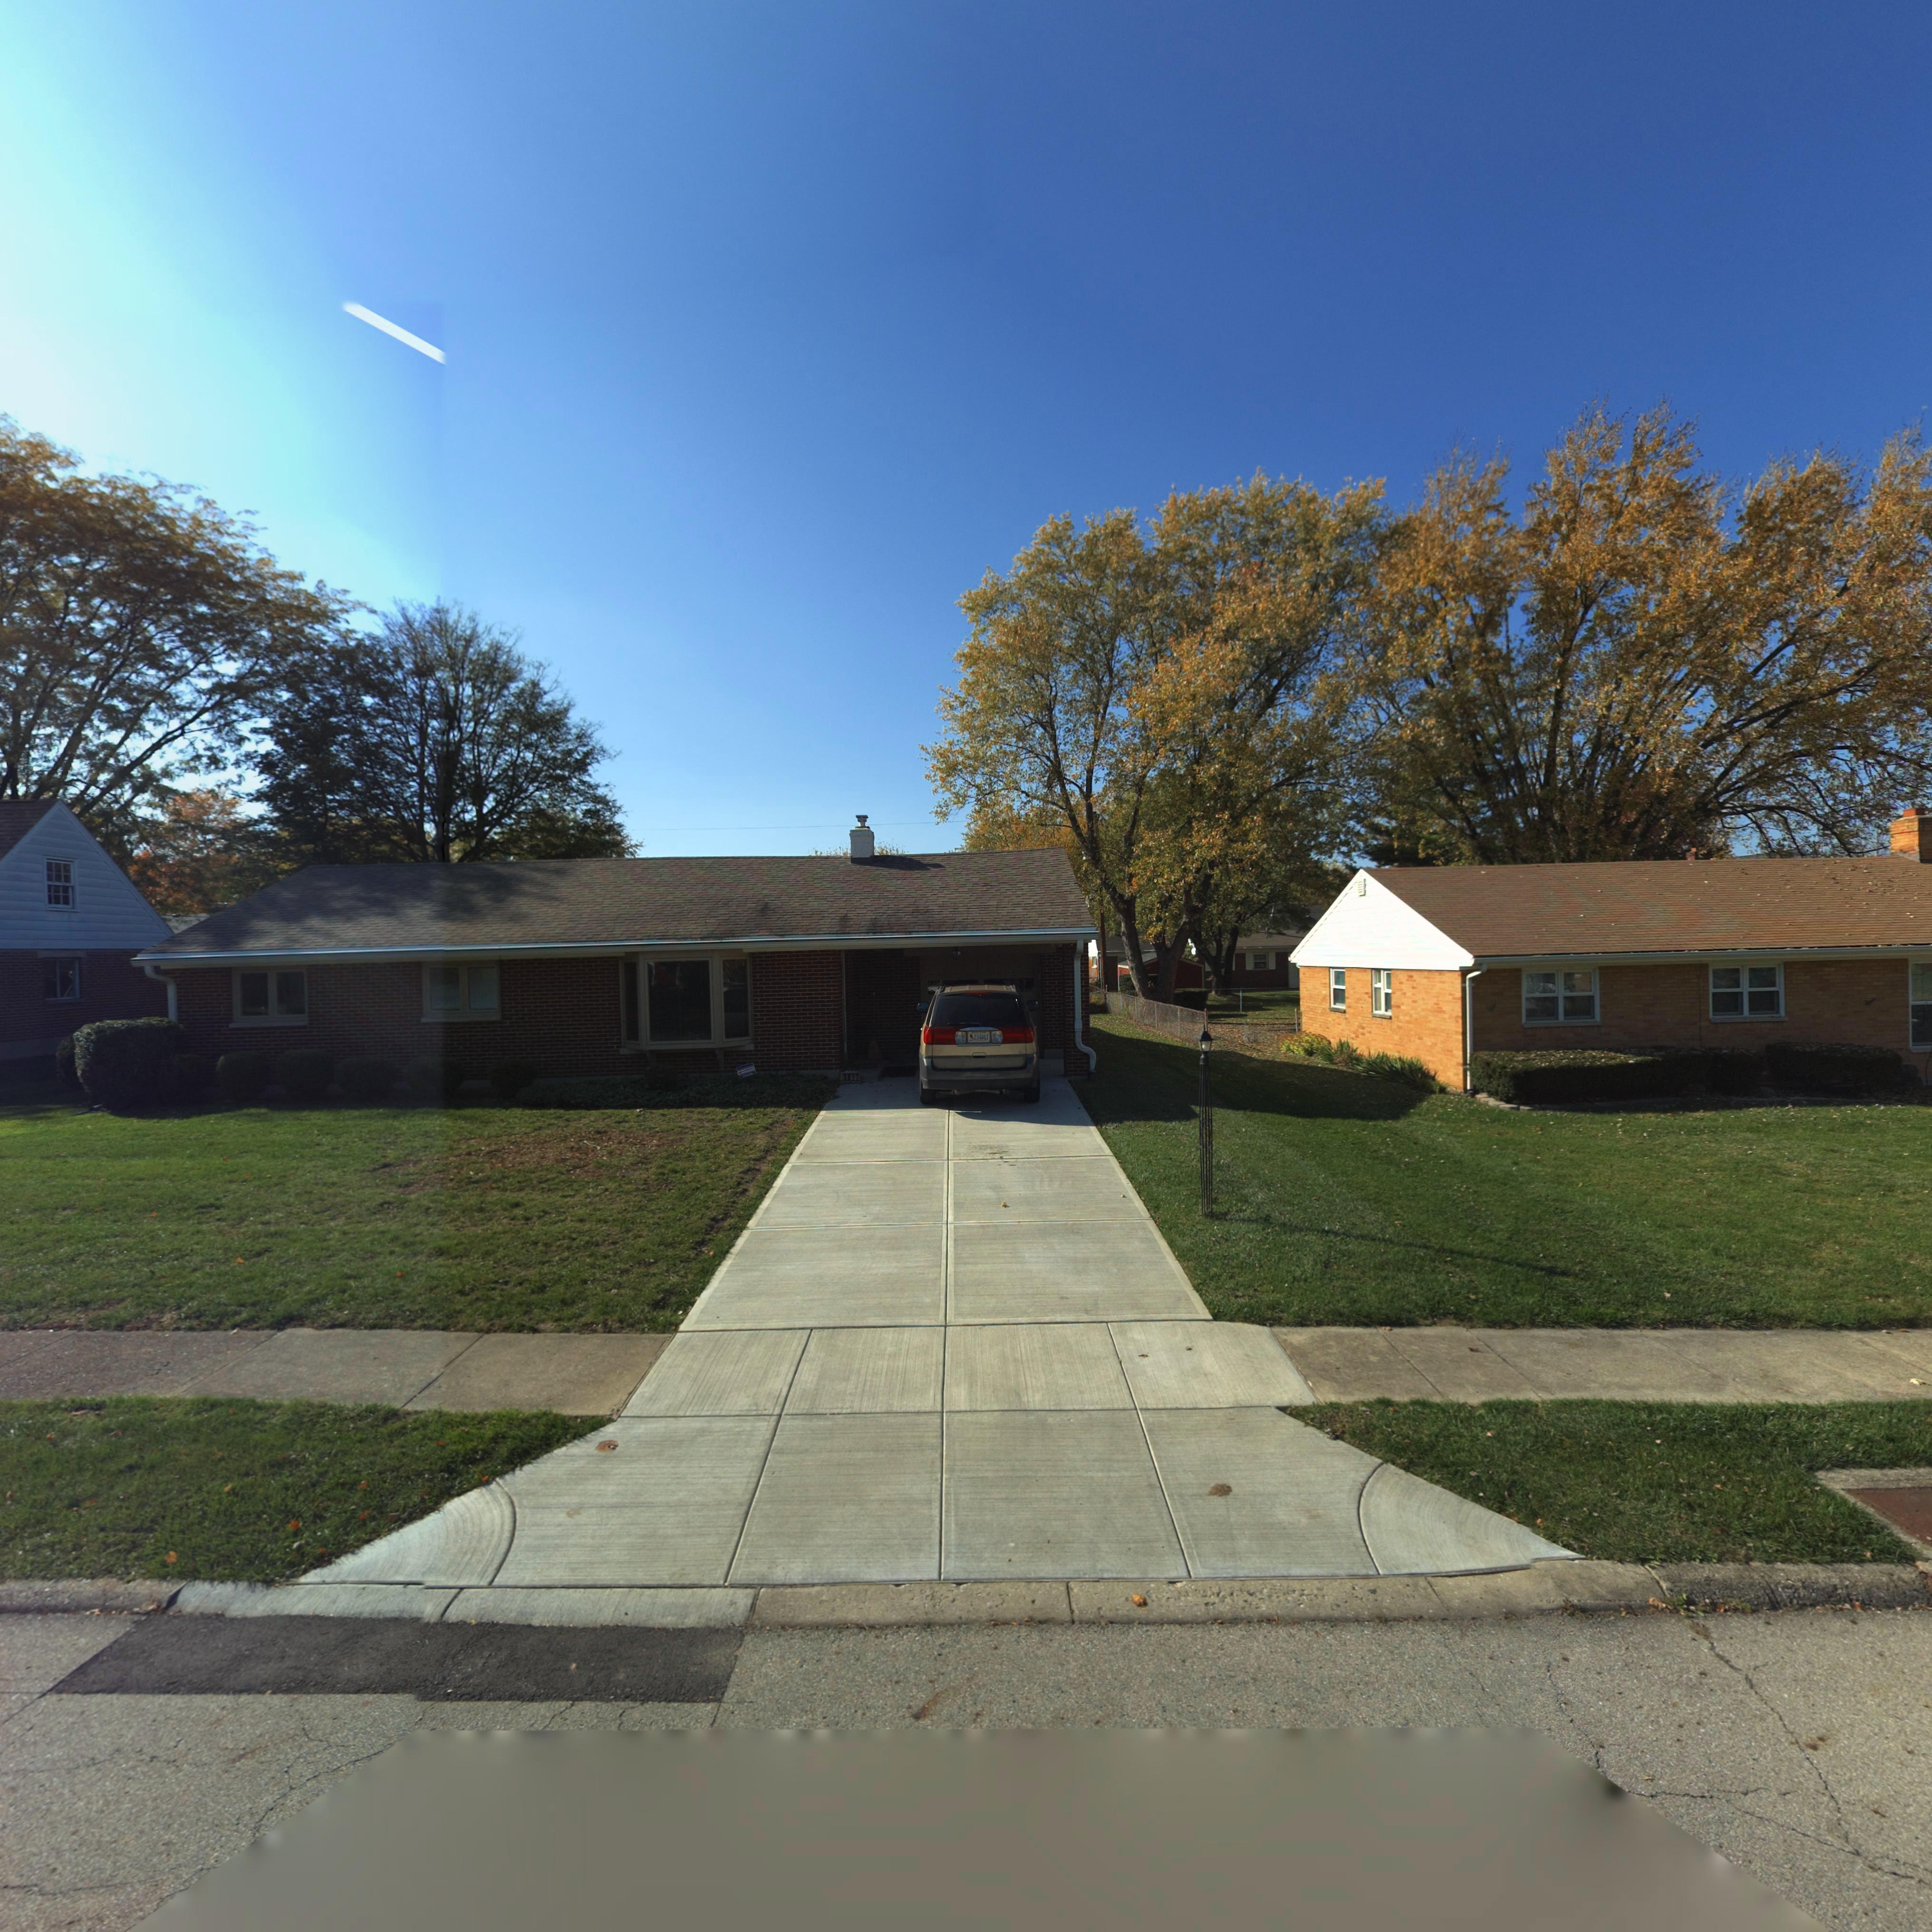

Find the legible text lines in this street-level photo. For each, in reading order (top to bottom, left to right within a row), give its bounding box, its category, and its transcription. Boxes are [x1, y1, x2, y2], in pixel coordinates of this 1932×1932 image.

[973, 1033, 989, 1041] None: 29*MAT
[842, 1073, 859, 1081] StreetNumber: 3817